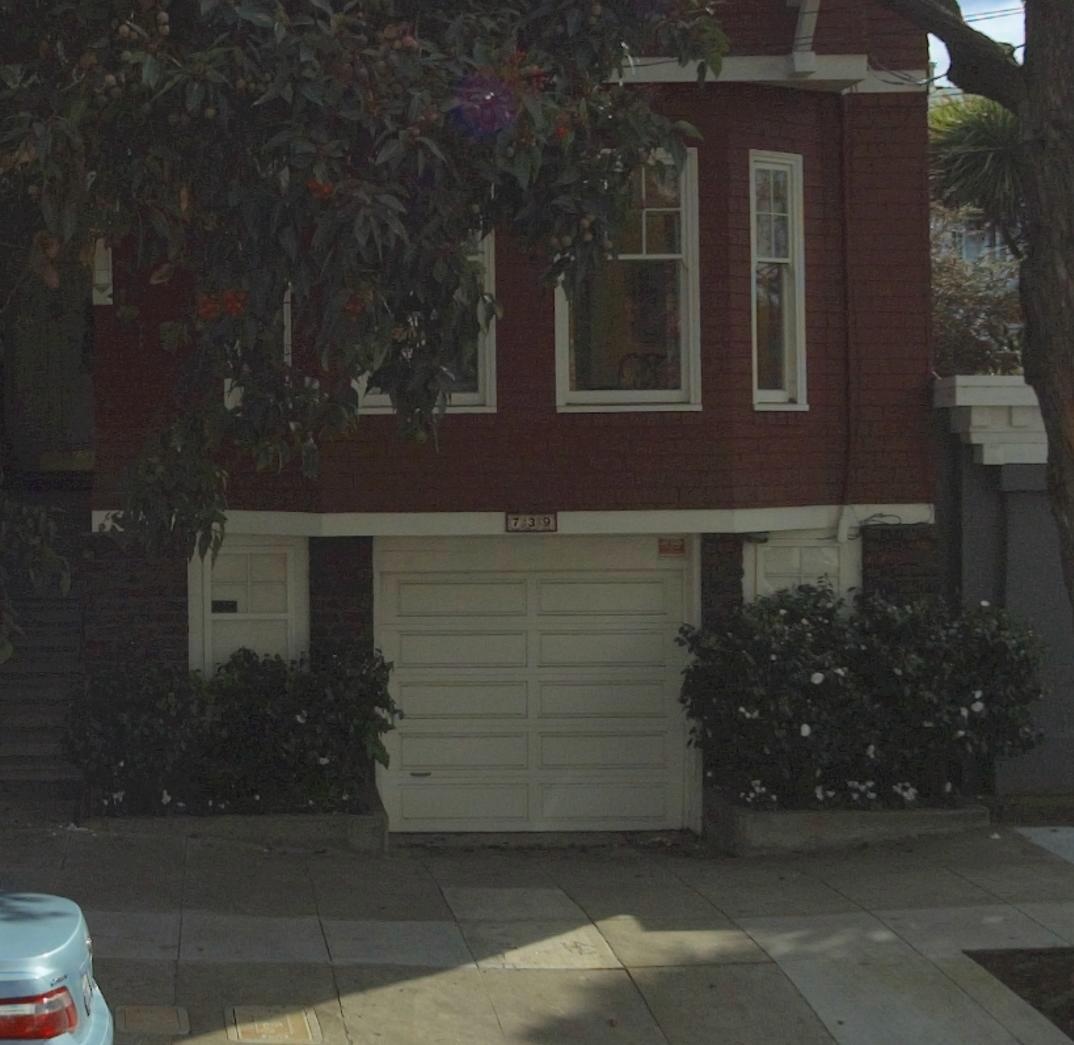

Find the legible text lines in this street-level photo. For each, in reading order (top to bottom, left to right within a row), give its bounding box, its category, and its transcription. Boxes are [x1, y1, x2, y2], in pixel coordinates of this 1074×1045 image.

[510, 515, 552, 528] StreetNumber: 739